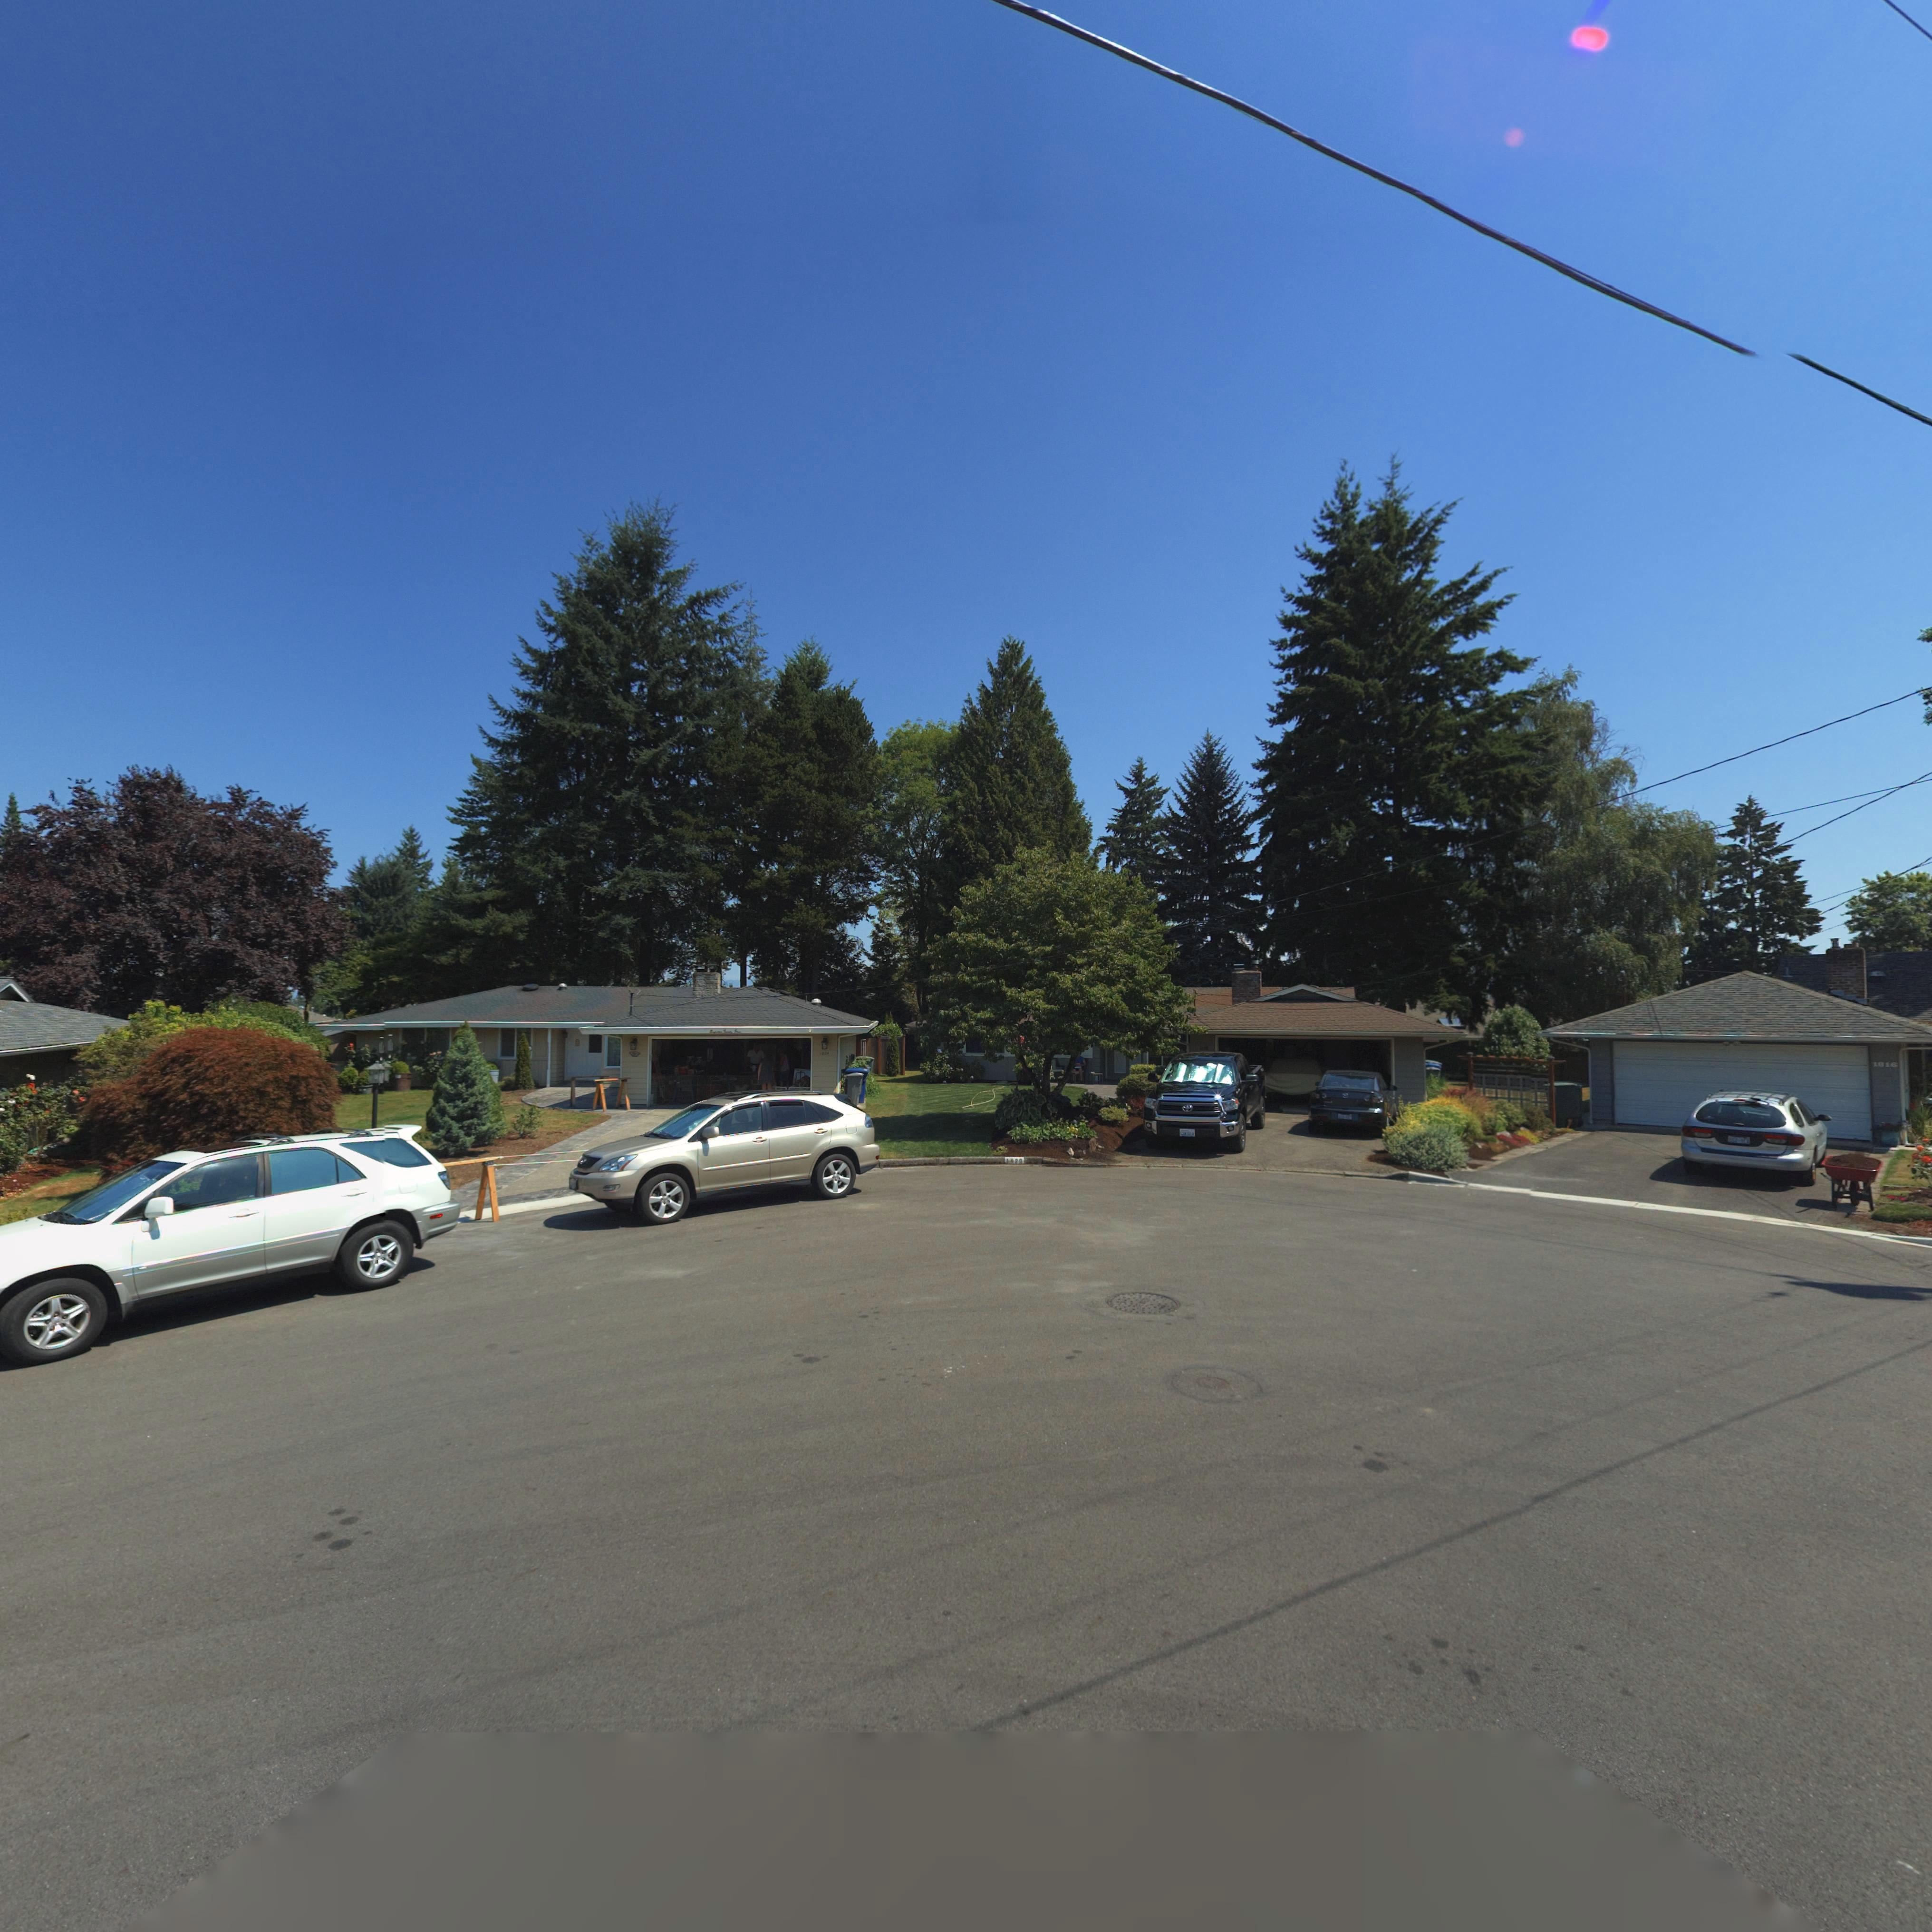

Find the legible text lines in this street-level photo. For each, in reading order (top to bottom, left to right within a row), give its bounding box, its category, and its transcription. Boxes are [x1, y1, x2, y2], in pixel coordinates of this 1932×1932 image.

[1873, 1060, 1898, 1068] StreetNumber: 1*16
[1005, 1158, 1023, 1163] StreetNumber: 1*20